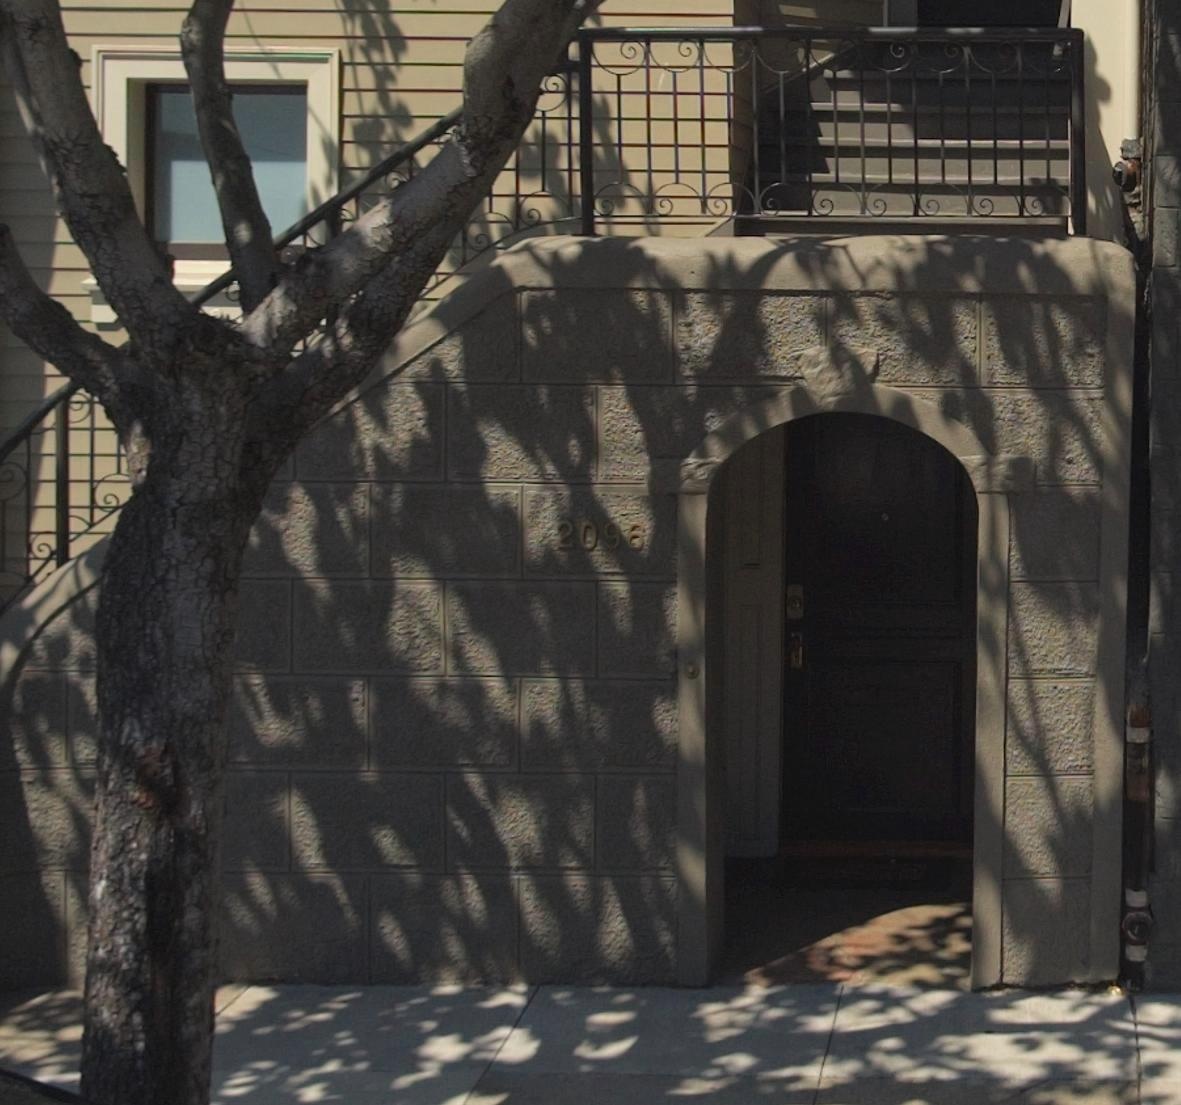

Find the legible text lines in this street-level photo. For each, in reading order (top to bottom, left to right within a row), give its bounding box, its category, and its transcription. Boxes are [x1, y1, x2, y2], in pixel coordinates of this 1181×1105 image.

[555, 519, 645, 553] StreetNumber: 2096